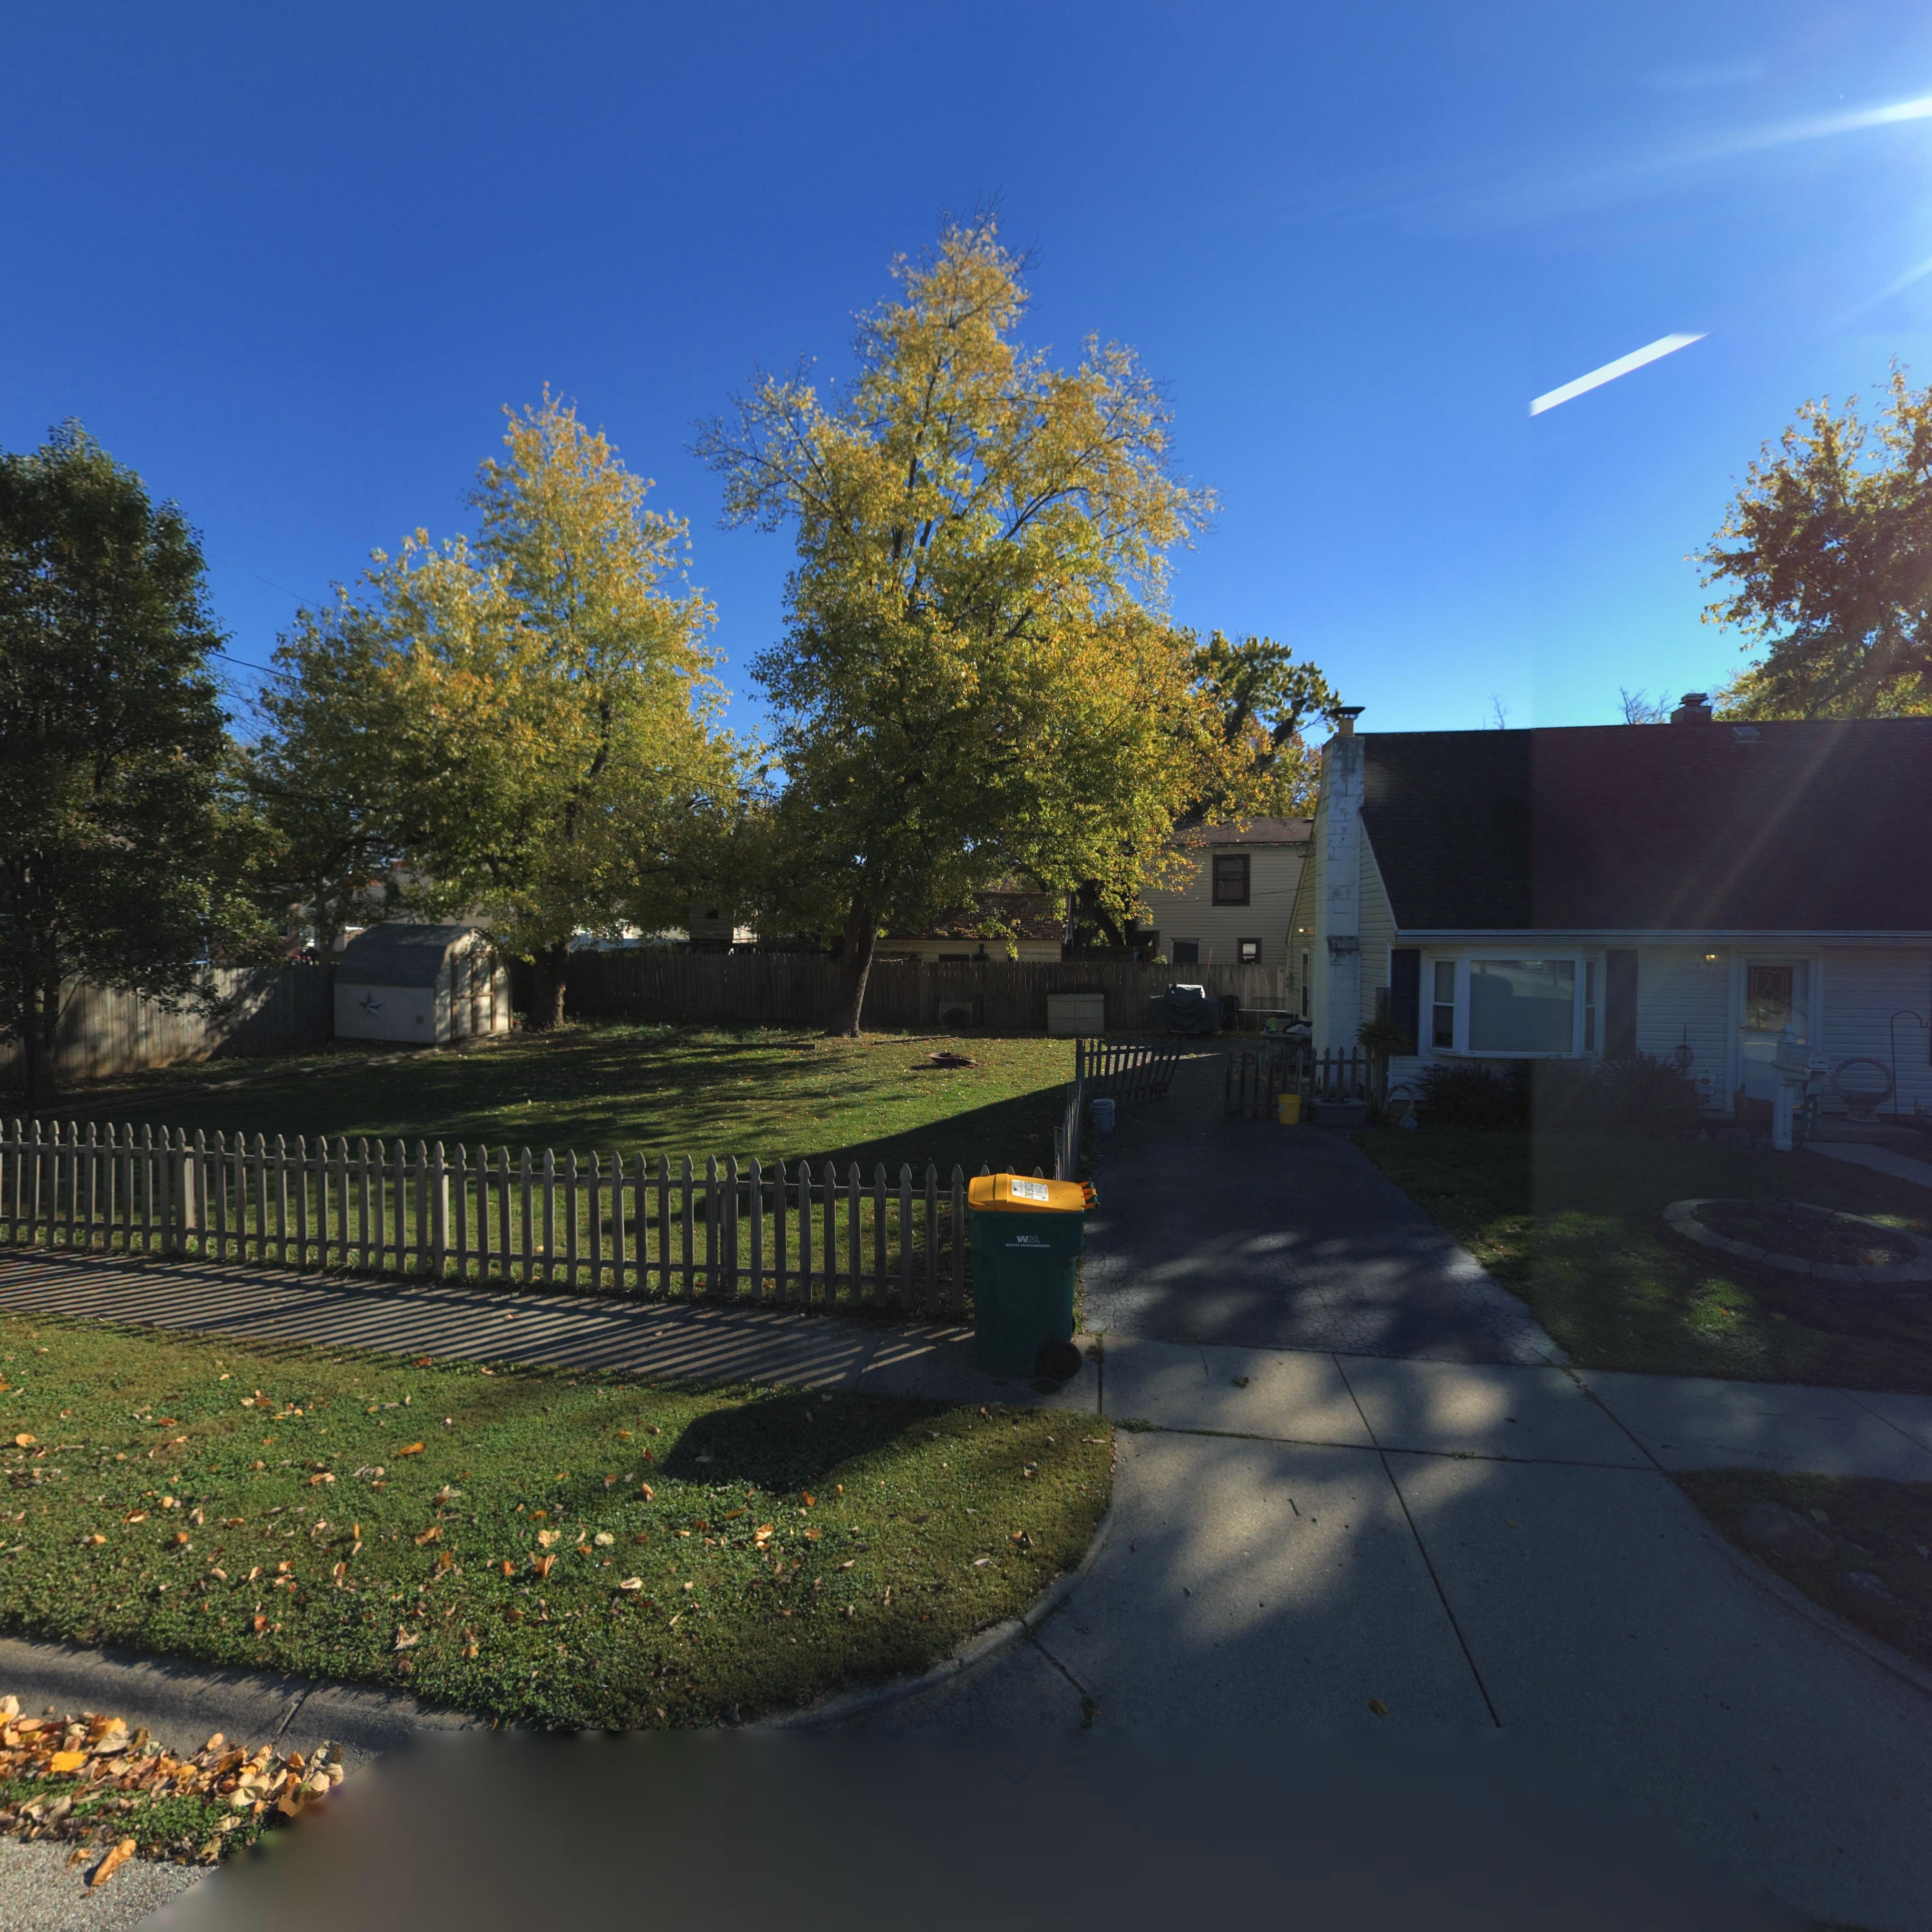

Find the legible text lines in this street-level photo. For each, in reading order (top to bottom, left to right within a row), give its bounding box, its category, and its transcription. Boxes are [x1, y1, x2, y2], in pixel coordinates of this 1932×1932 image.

[1804, 1101, 1815, 1140] StreetNumber: 4815